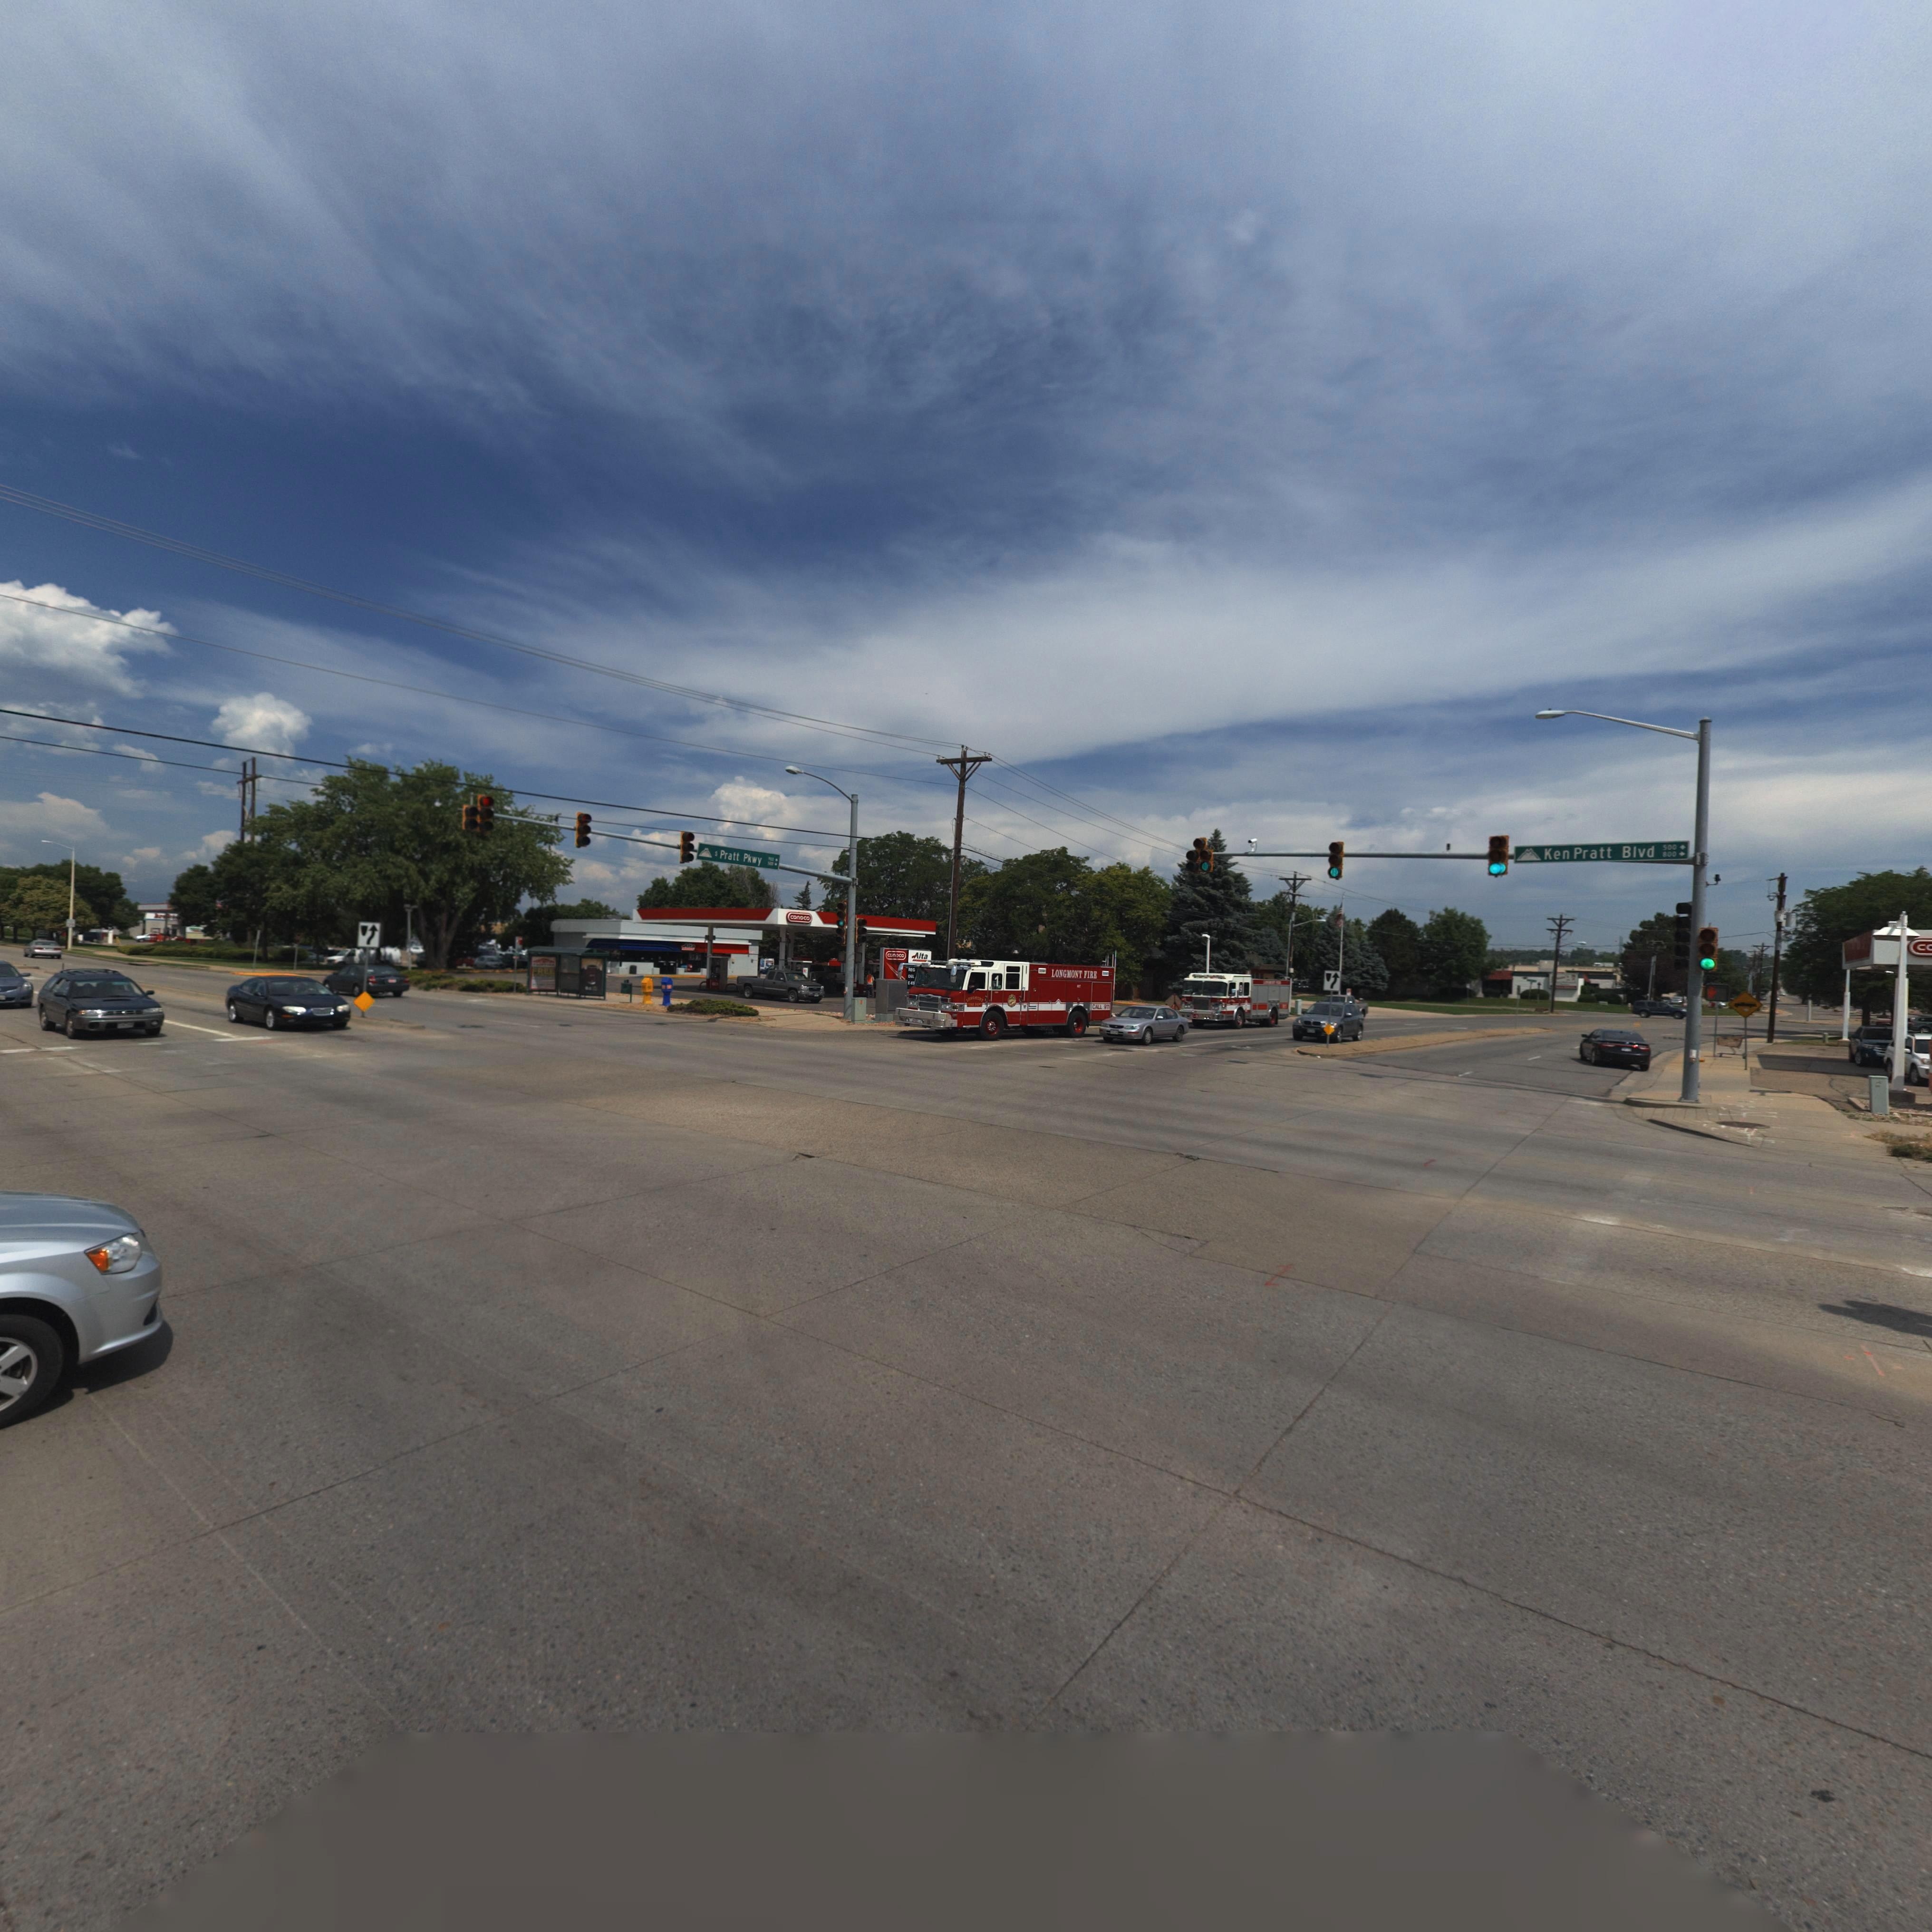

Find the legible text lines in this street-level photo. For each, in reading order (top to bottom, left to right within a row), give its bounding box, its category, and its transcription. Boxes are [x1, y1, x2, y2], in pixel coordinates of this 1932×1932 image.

[1662, 844, 1678, 851] StreetNumberRange: 500
[1543, 844, 1655, 860] StreetName: Ken Pratt Blvd
[1662, 851, 1686, 857] StreetNumberRange: 800->
[714, 849, 763, 867] StreetName: S Pratt Pkwy
[767, 860, 777, 866] StreetNumberRange: *00->
[790, 914, 810, 921] BusinessName: conoco
[681, 943, 695, 948] BusinessName: Alta
[1915, 942, 1927, 952] BusinessName: c
[887, 952, 905, 957] BusinessName: conoco
[994, 974, 999, 987] None: z*